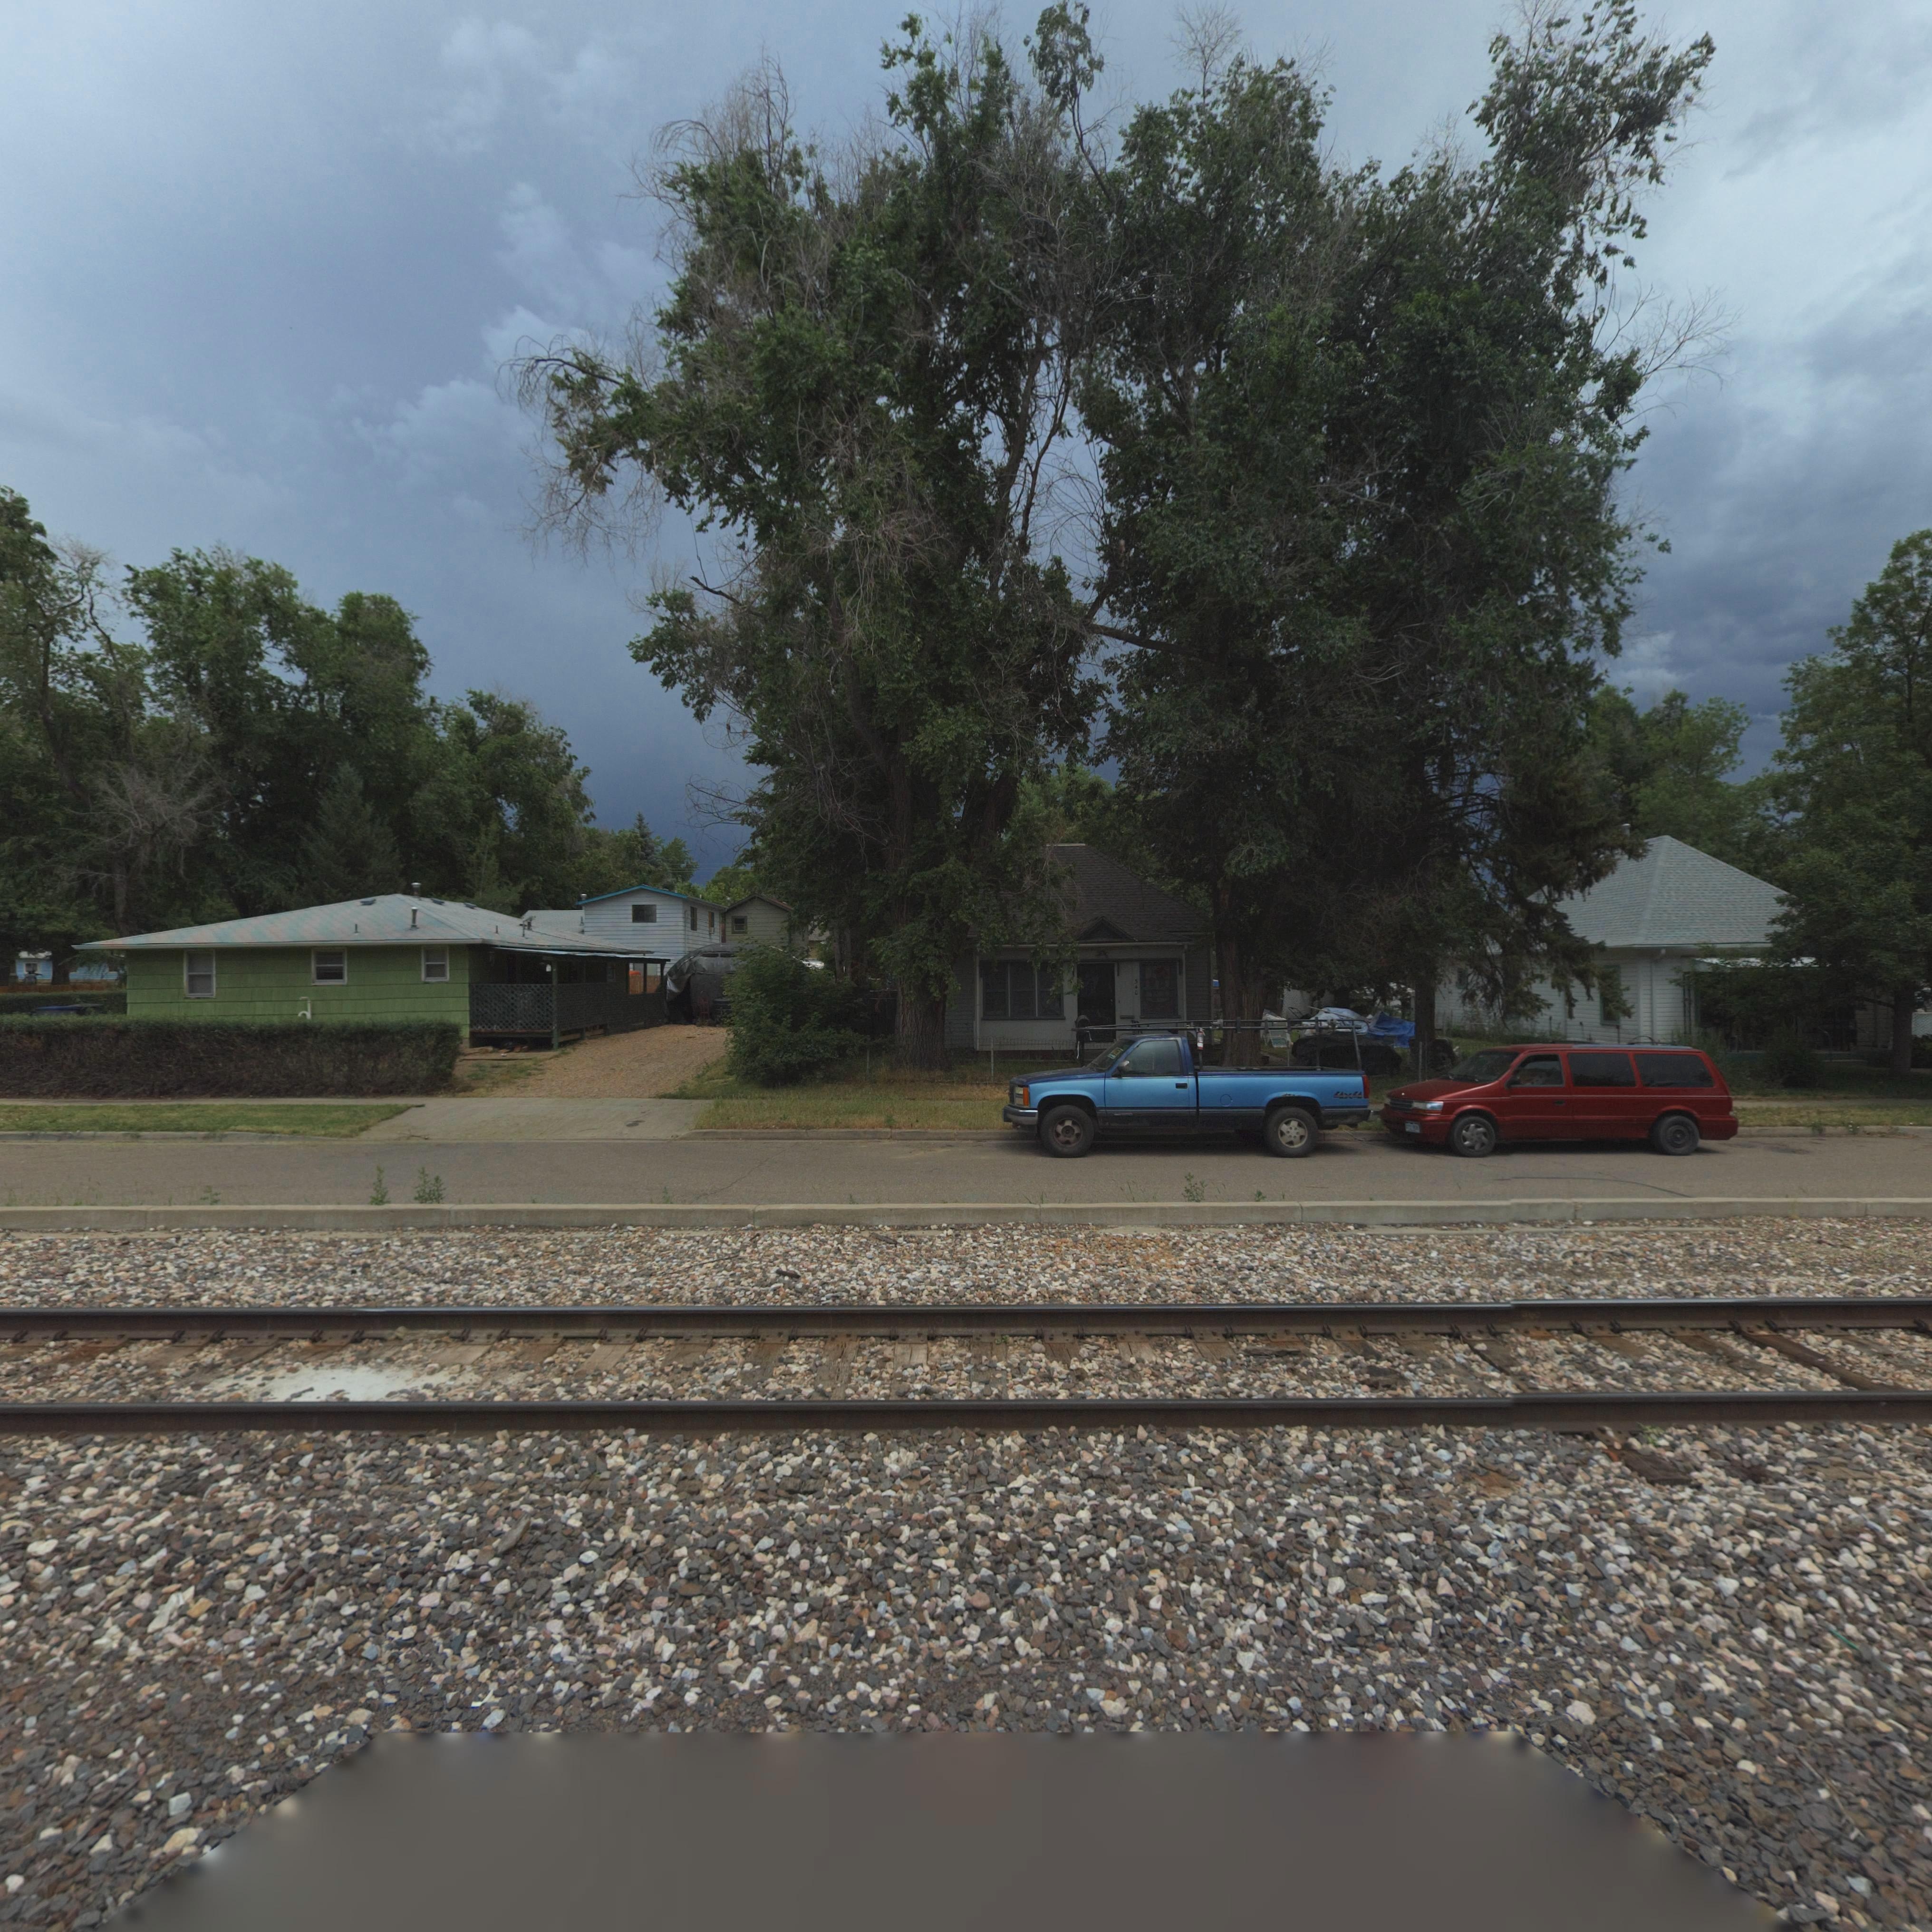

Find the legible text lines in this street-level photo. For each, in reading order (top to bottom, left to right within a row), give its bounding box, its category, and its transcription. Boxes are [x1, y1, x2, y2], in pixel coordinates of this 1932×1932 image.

[1134, 977, 1139, 995] StreetNumber: 340